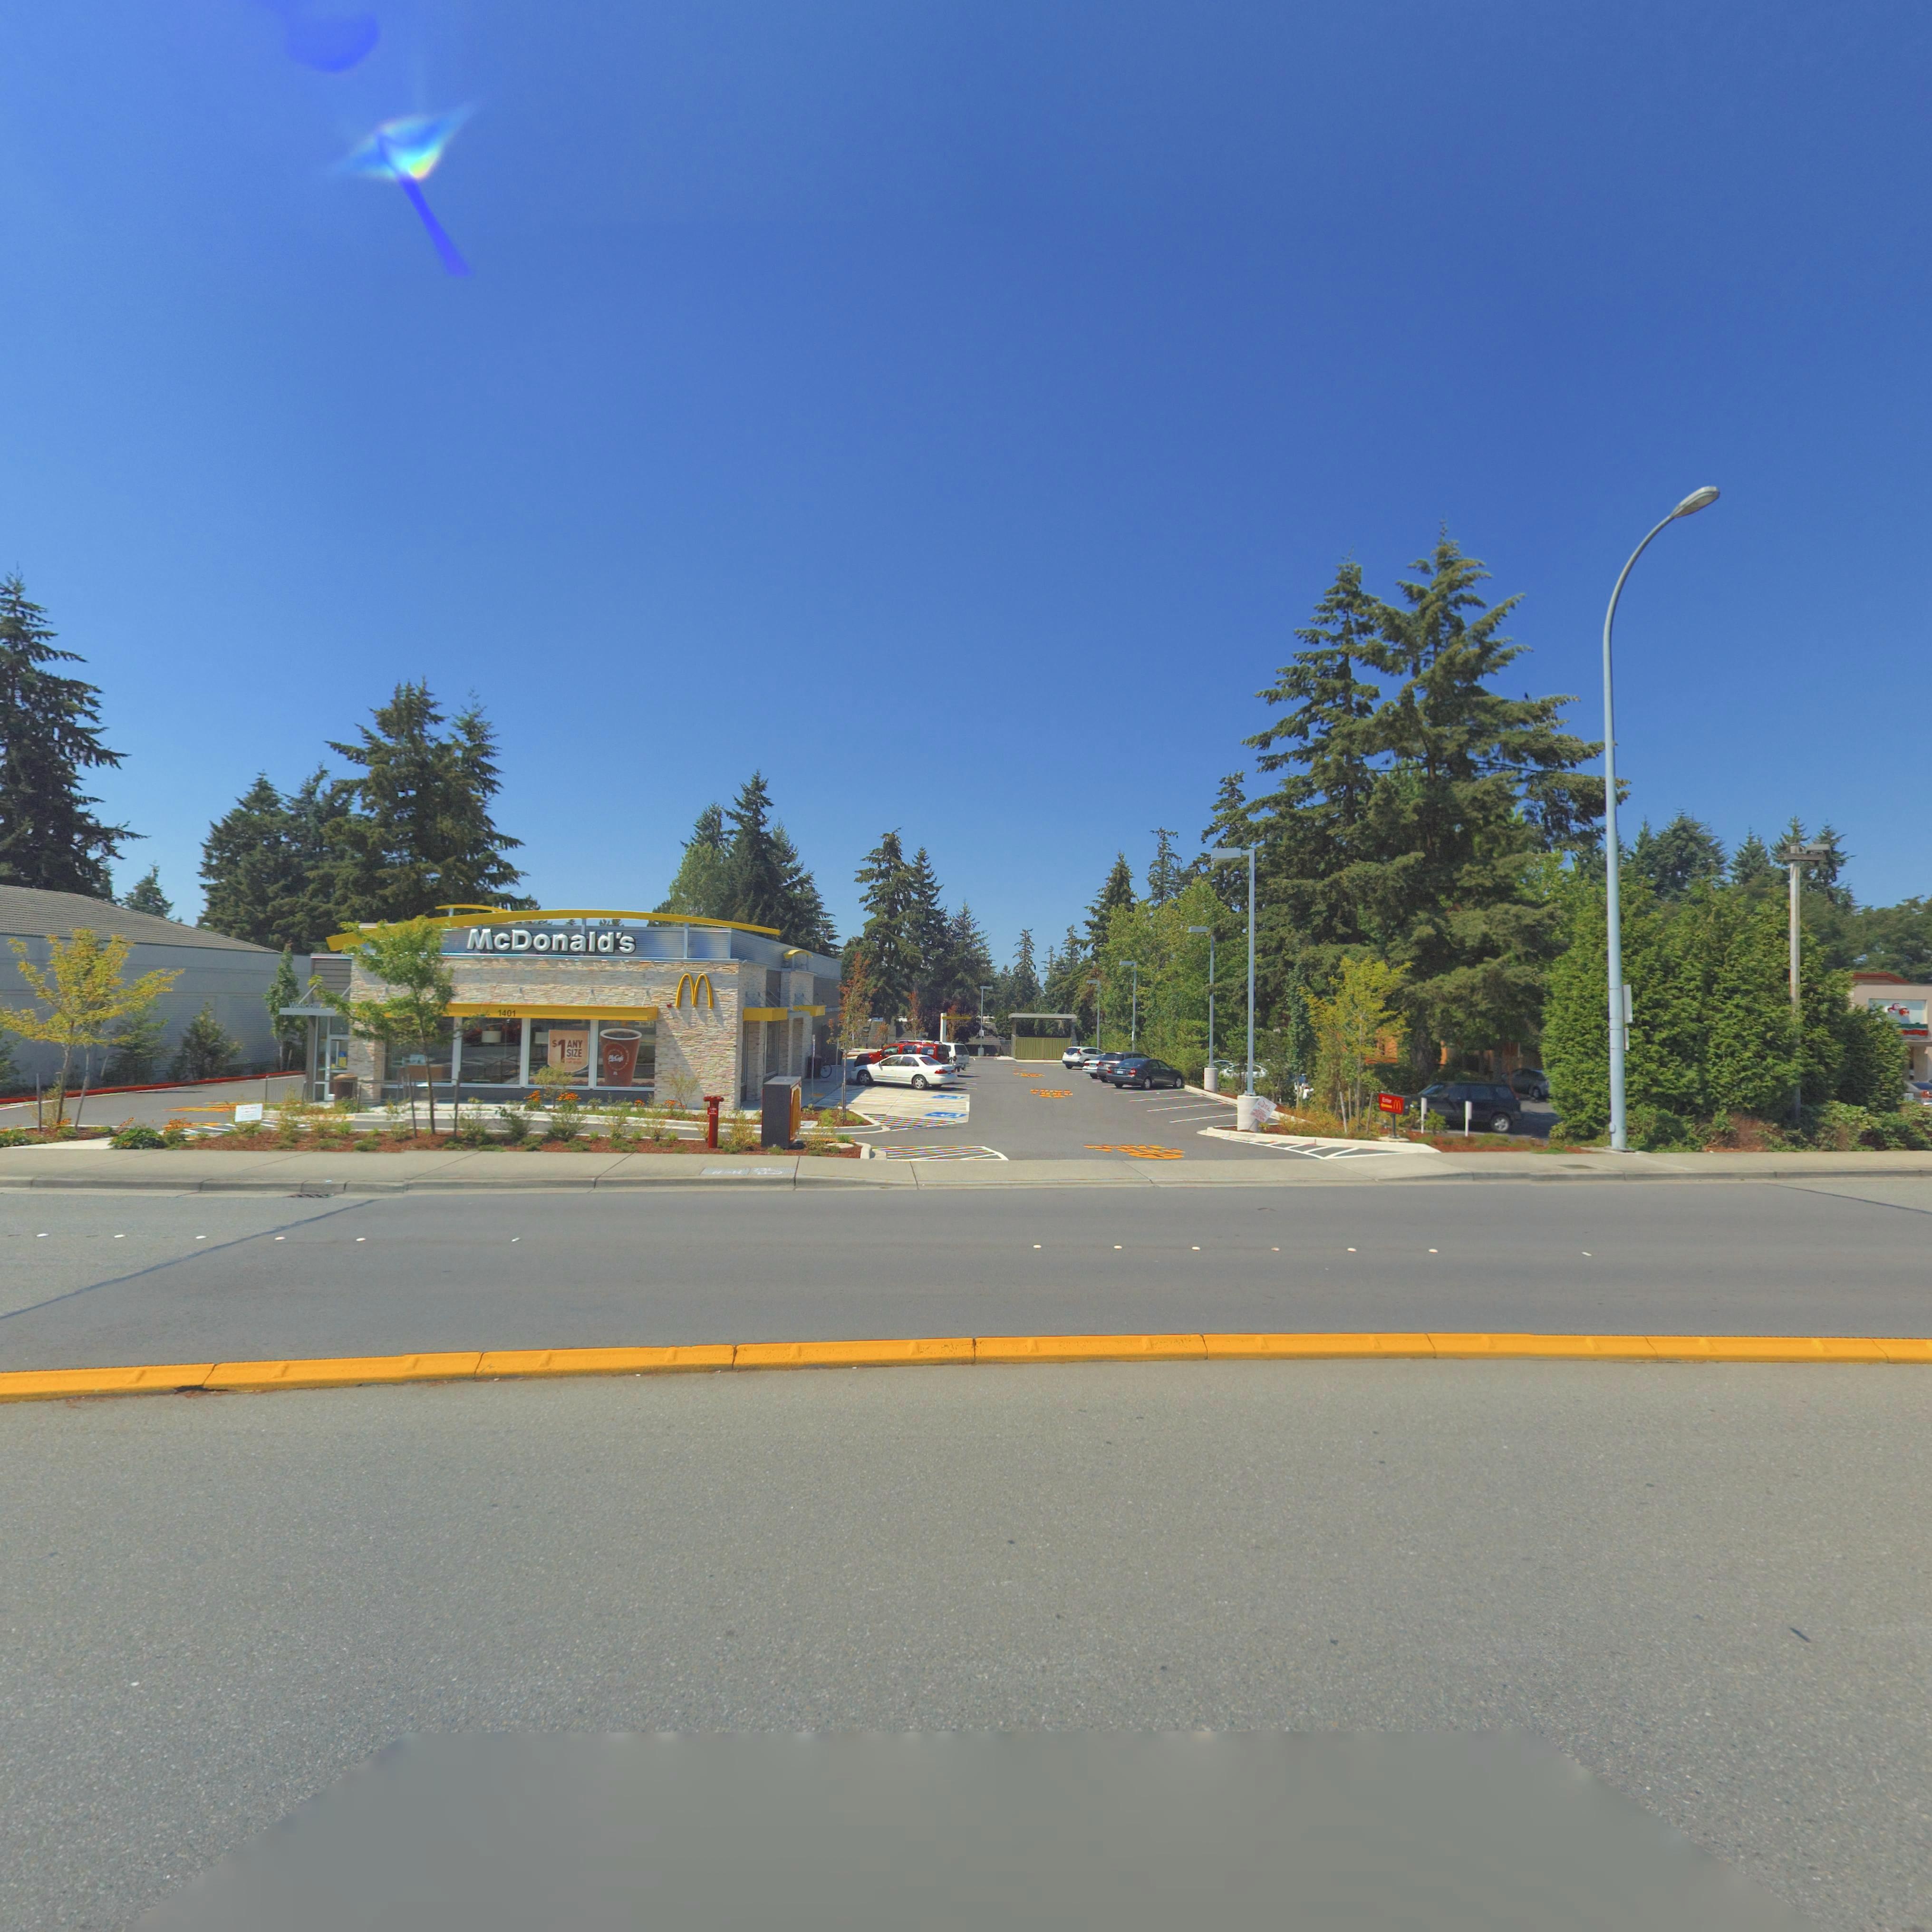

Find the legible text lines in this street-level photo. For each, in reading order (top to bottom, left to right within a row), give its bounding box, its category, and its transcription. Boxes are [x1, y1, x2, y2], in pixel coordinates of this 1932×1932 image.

[498, 1009, 516, 1017] StreetNumber: 1401